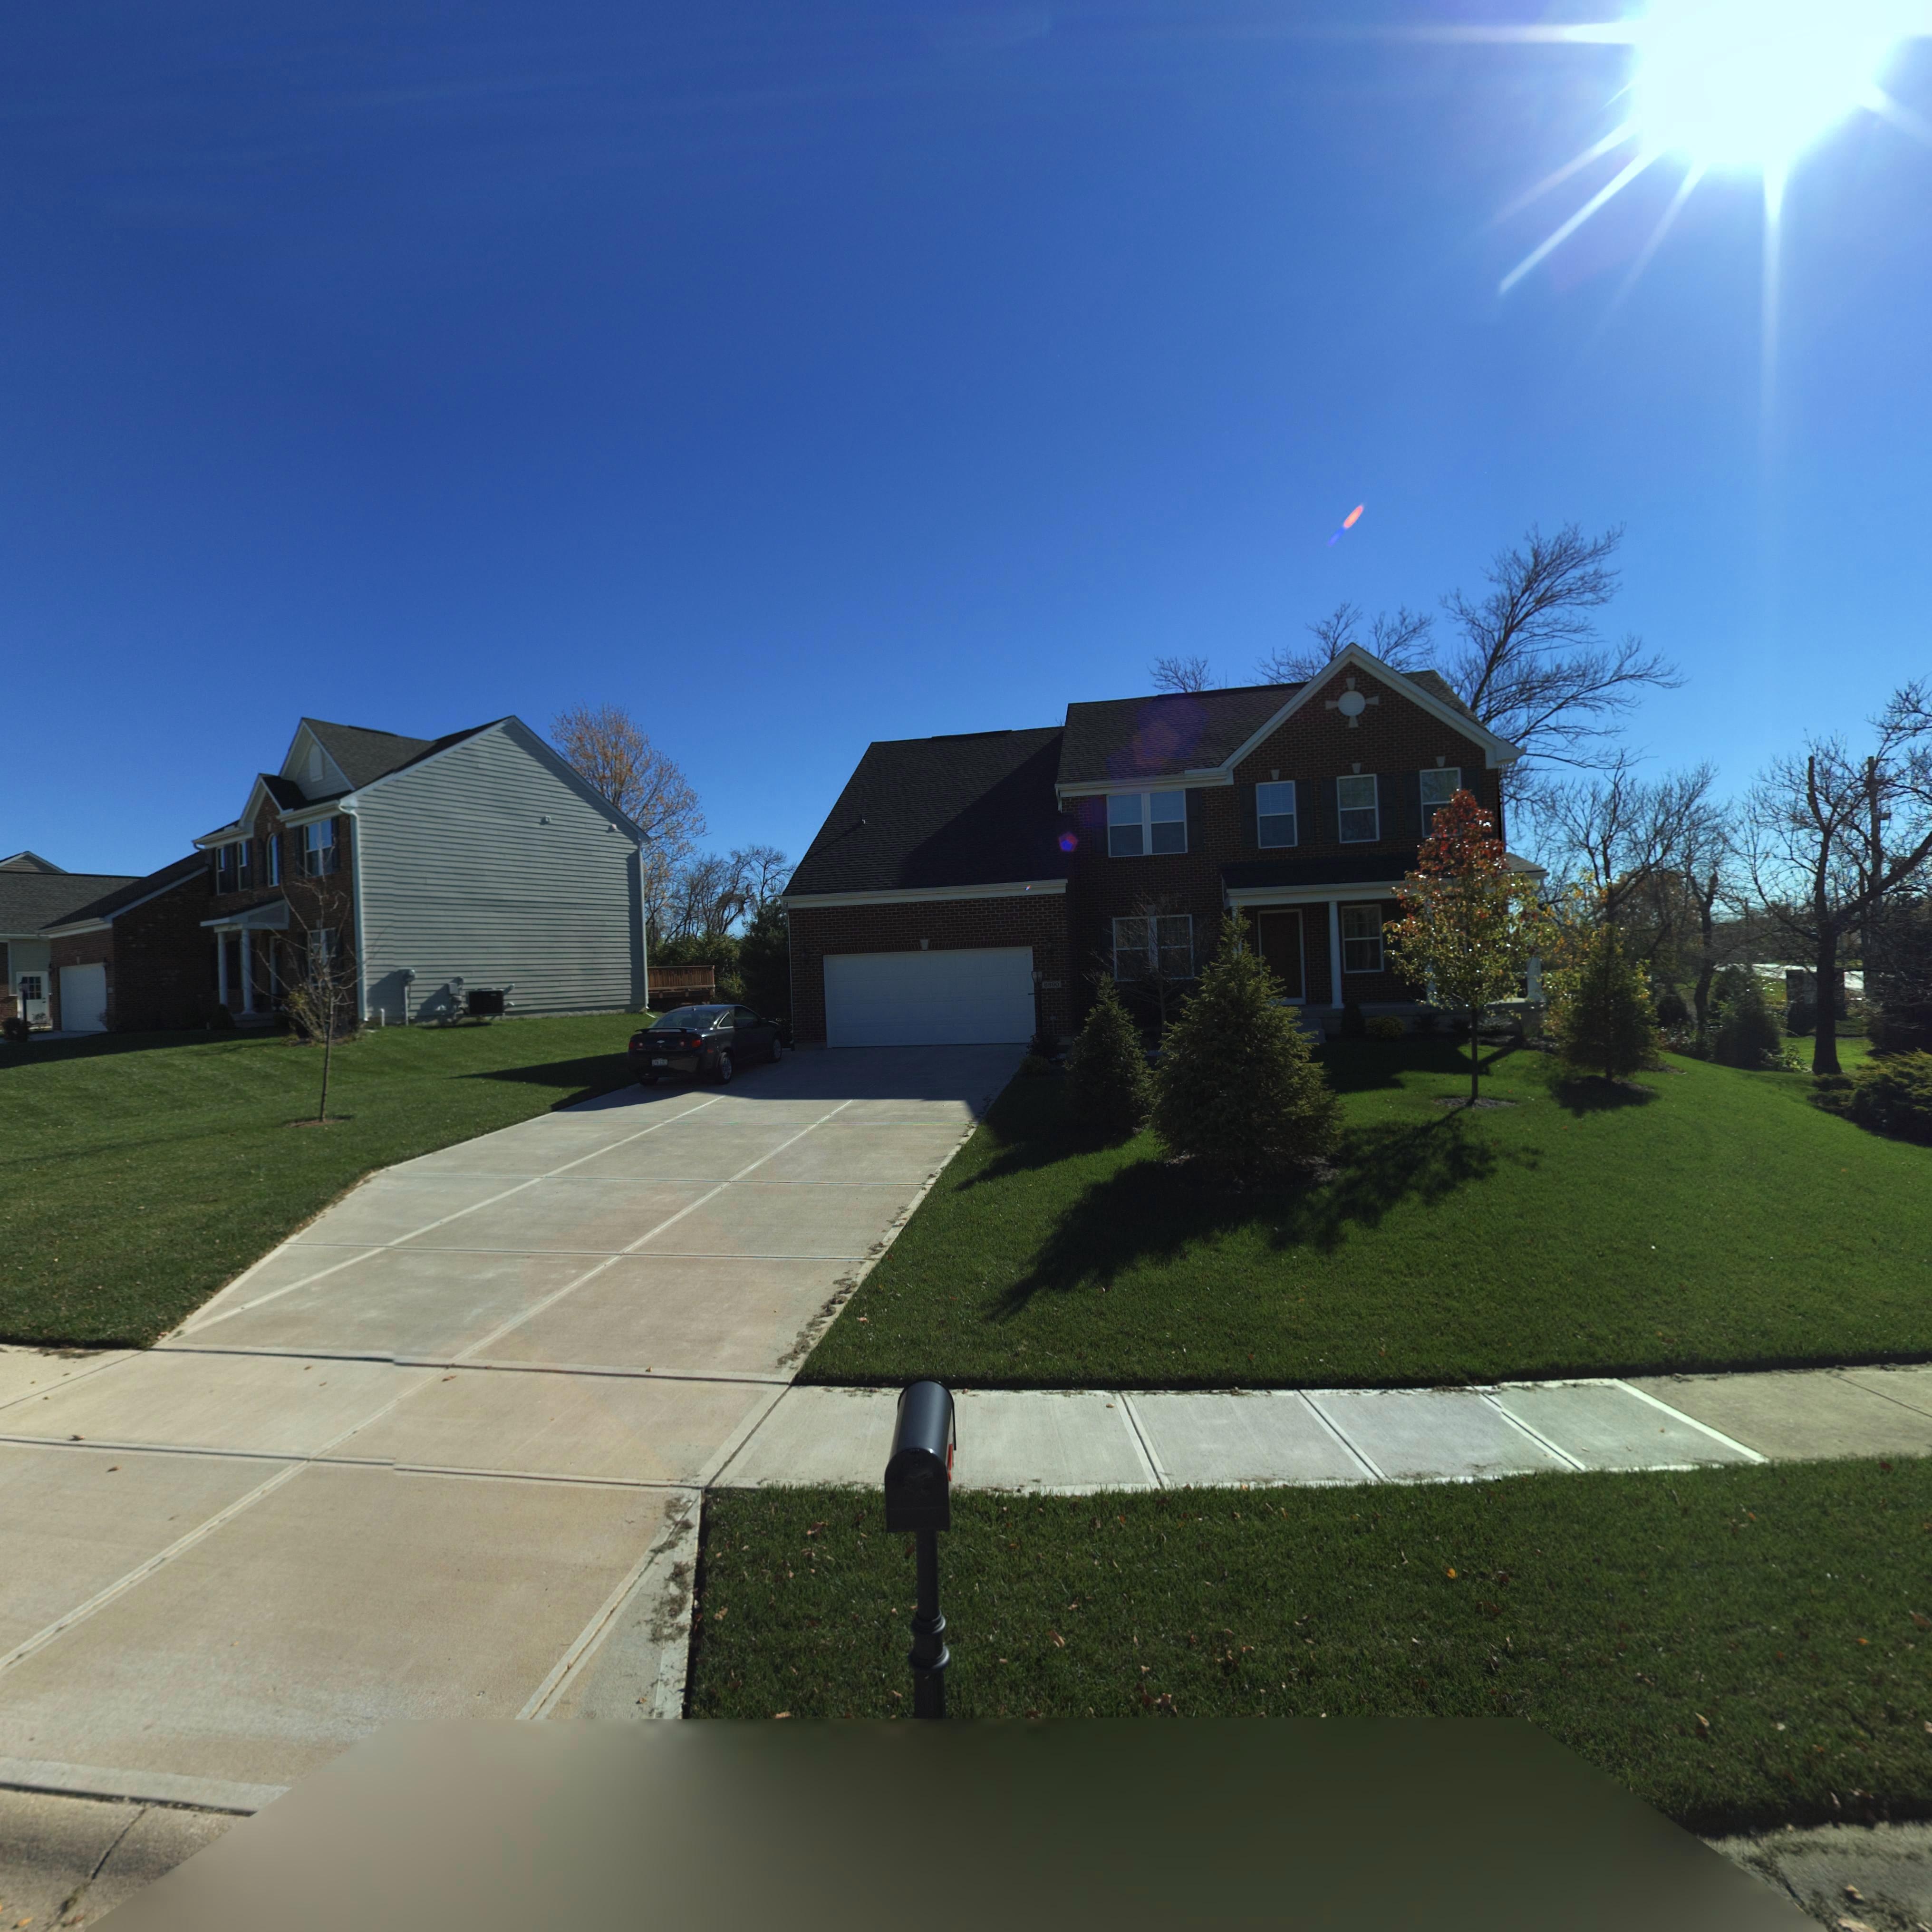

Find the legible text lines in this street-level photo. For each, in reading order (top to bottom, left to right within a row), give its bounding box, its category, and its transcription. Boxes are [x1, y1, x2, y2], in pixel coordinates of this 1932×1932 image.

[1043, 981, 1060, 988] StreetNumber: 6890